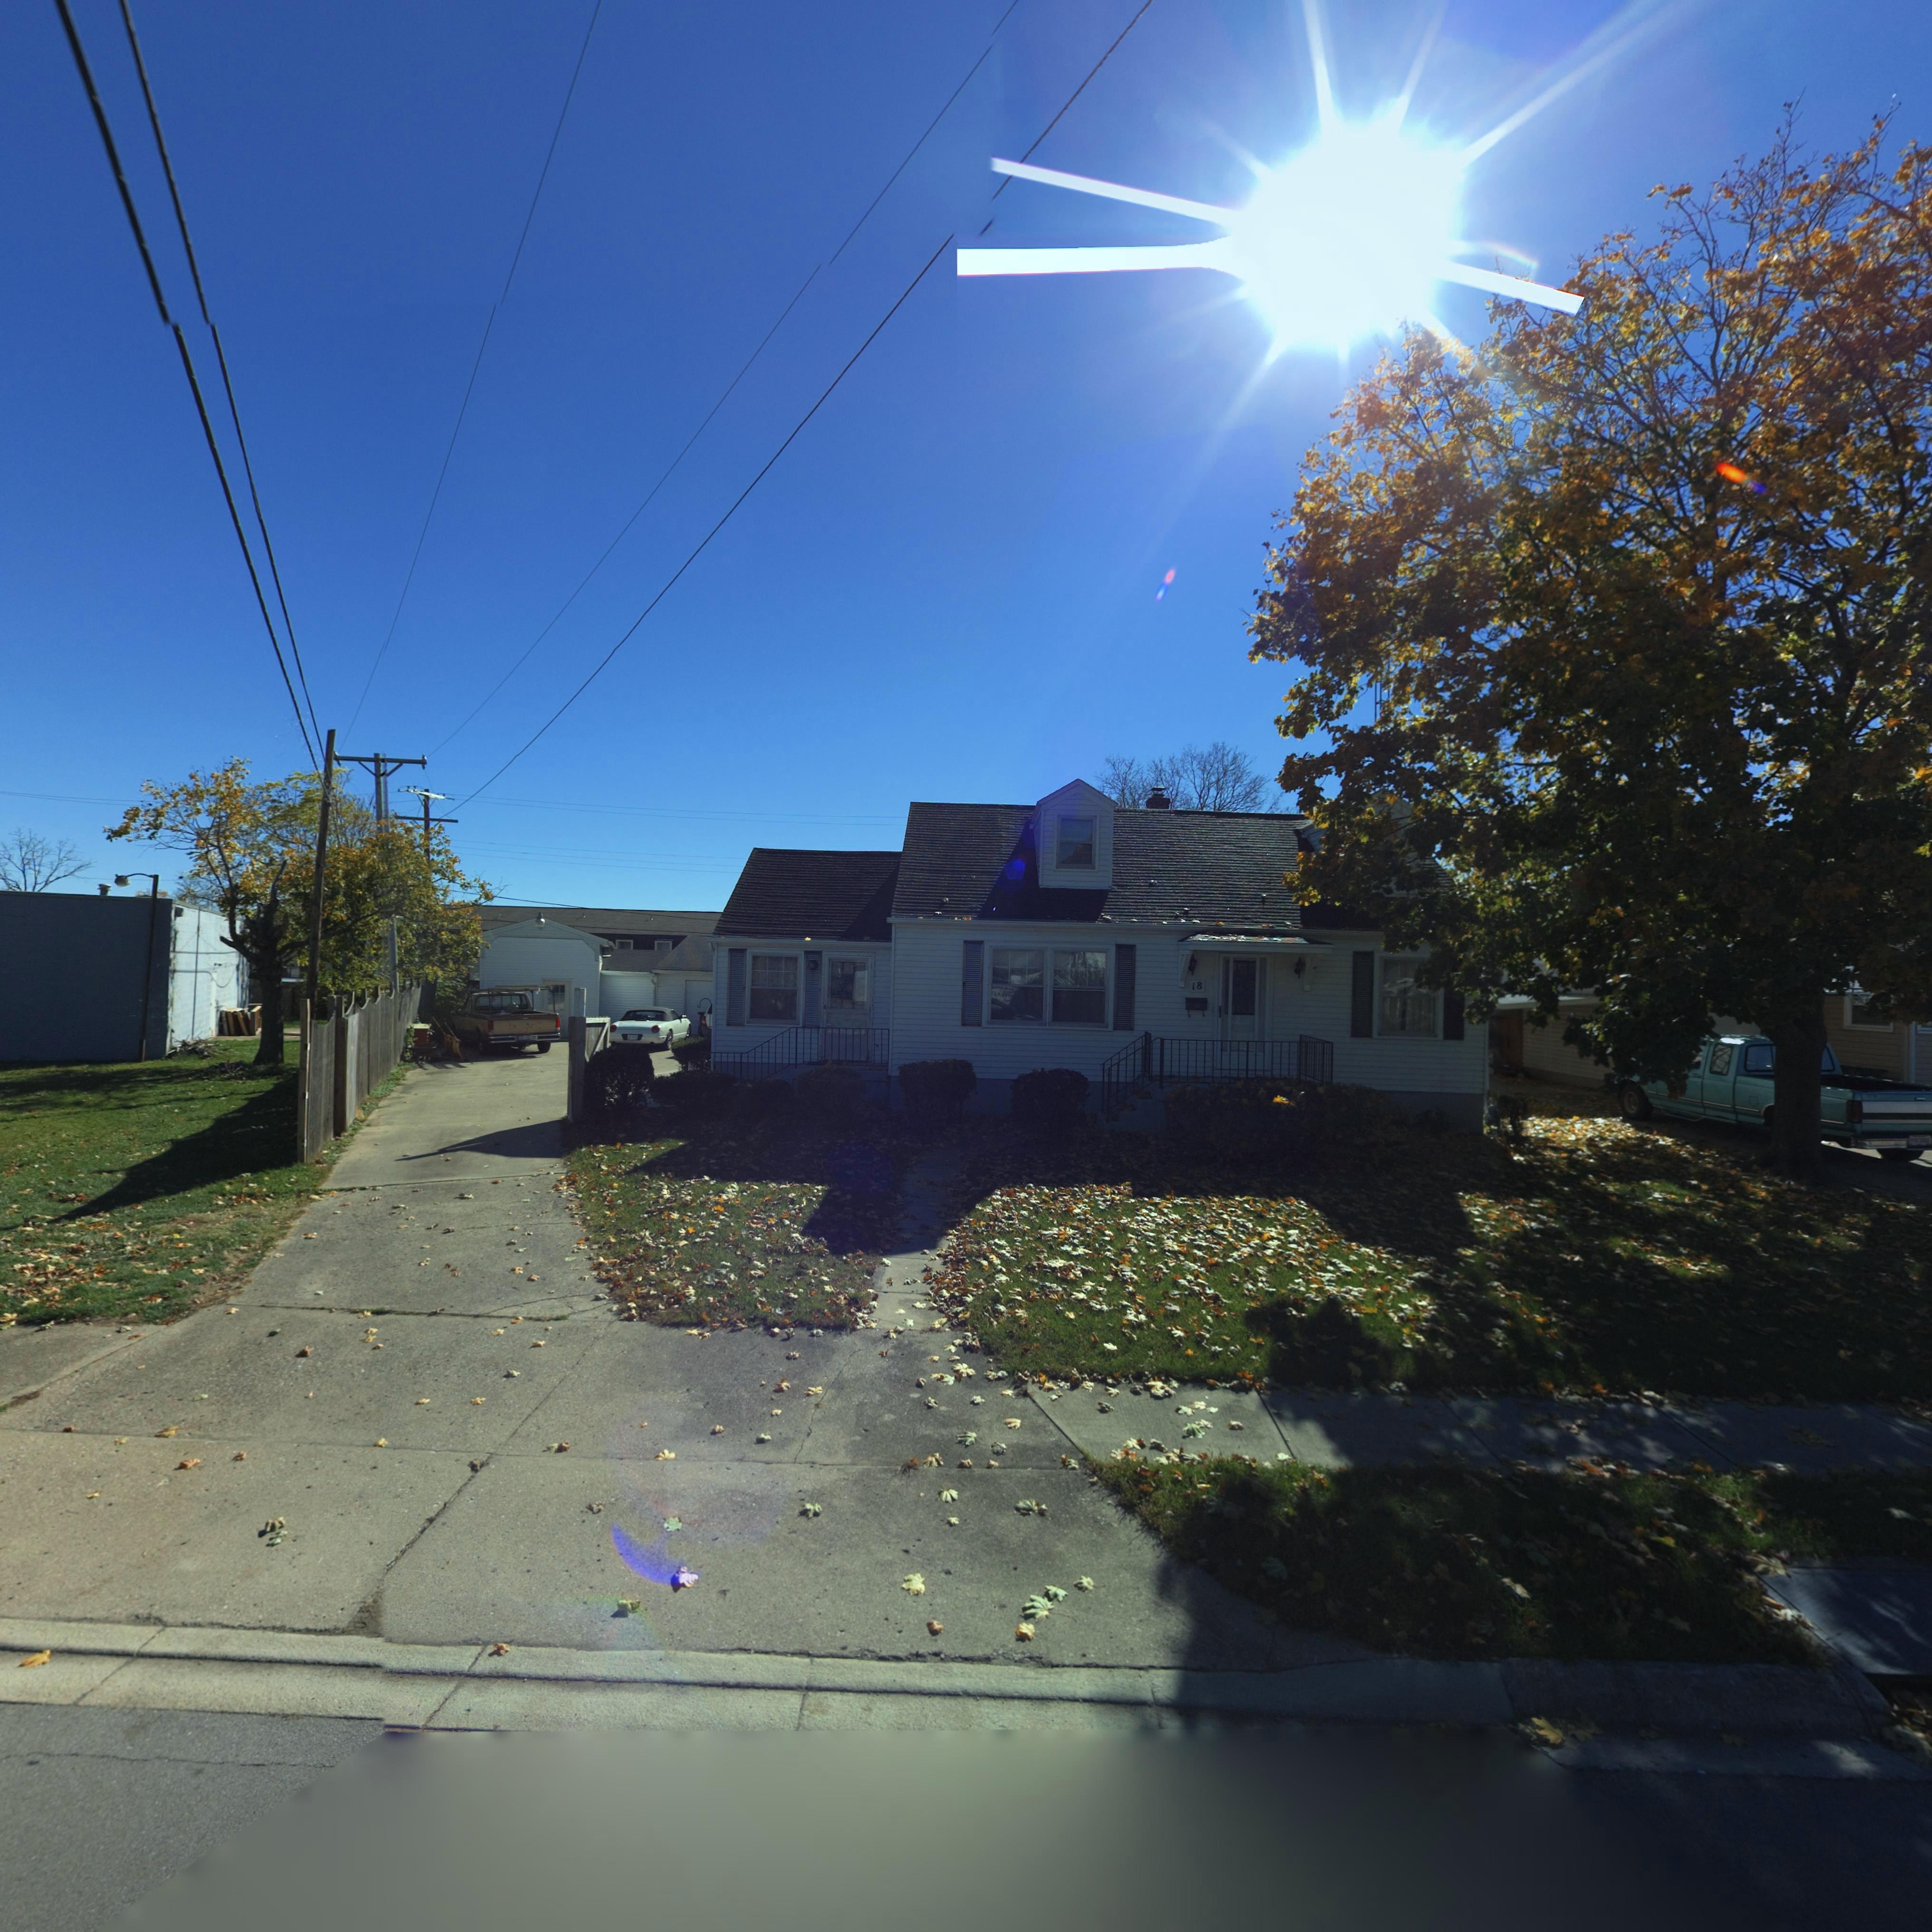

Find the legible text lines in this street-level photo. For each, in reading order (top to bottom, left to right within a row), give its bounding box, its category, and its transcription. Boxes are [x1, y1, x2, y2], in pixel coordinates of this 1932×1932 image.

[1191, 980, 1204, 992] StreetNumber: 18